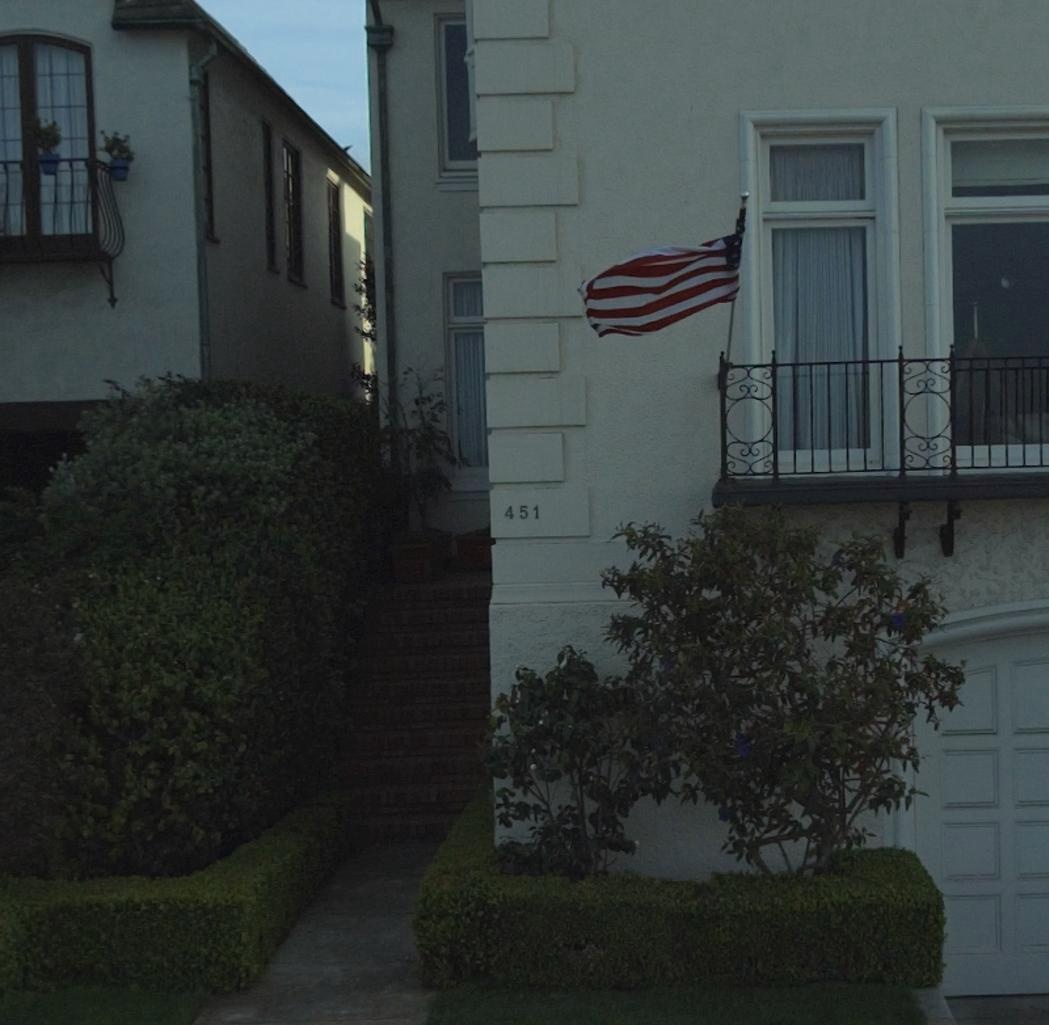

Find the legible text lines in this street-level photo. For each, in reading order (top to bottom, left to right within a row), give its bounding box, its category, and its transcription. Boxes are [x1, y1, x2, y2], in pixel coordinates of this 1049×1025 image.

[502, 503, 541, 522] StreetNumber: 451